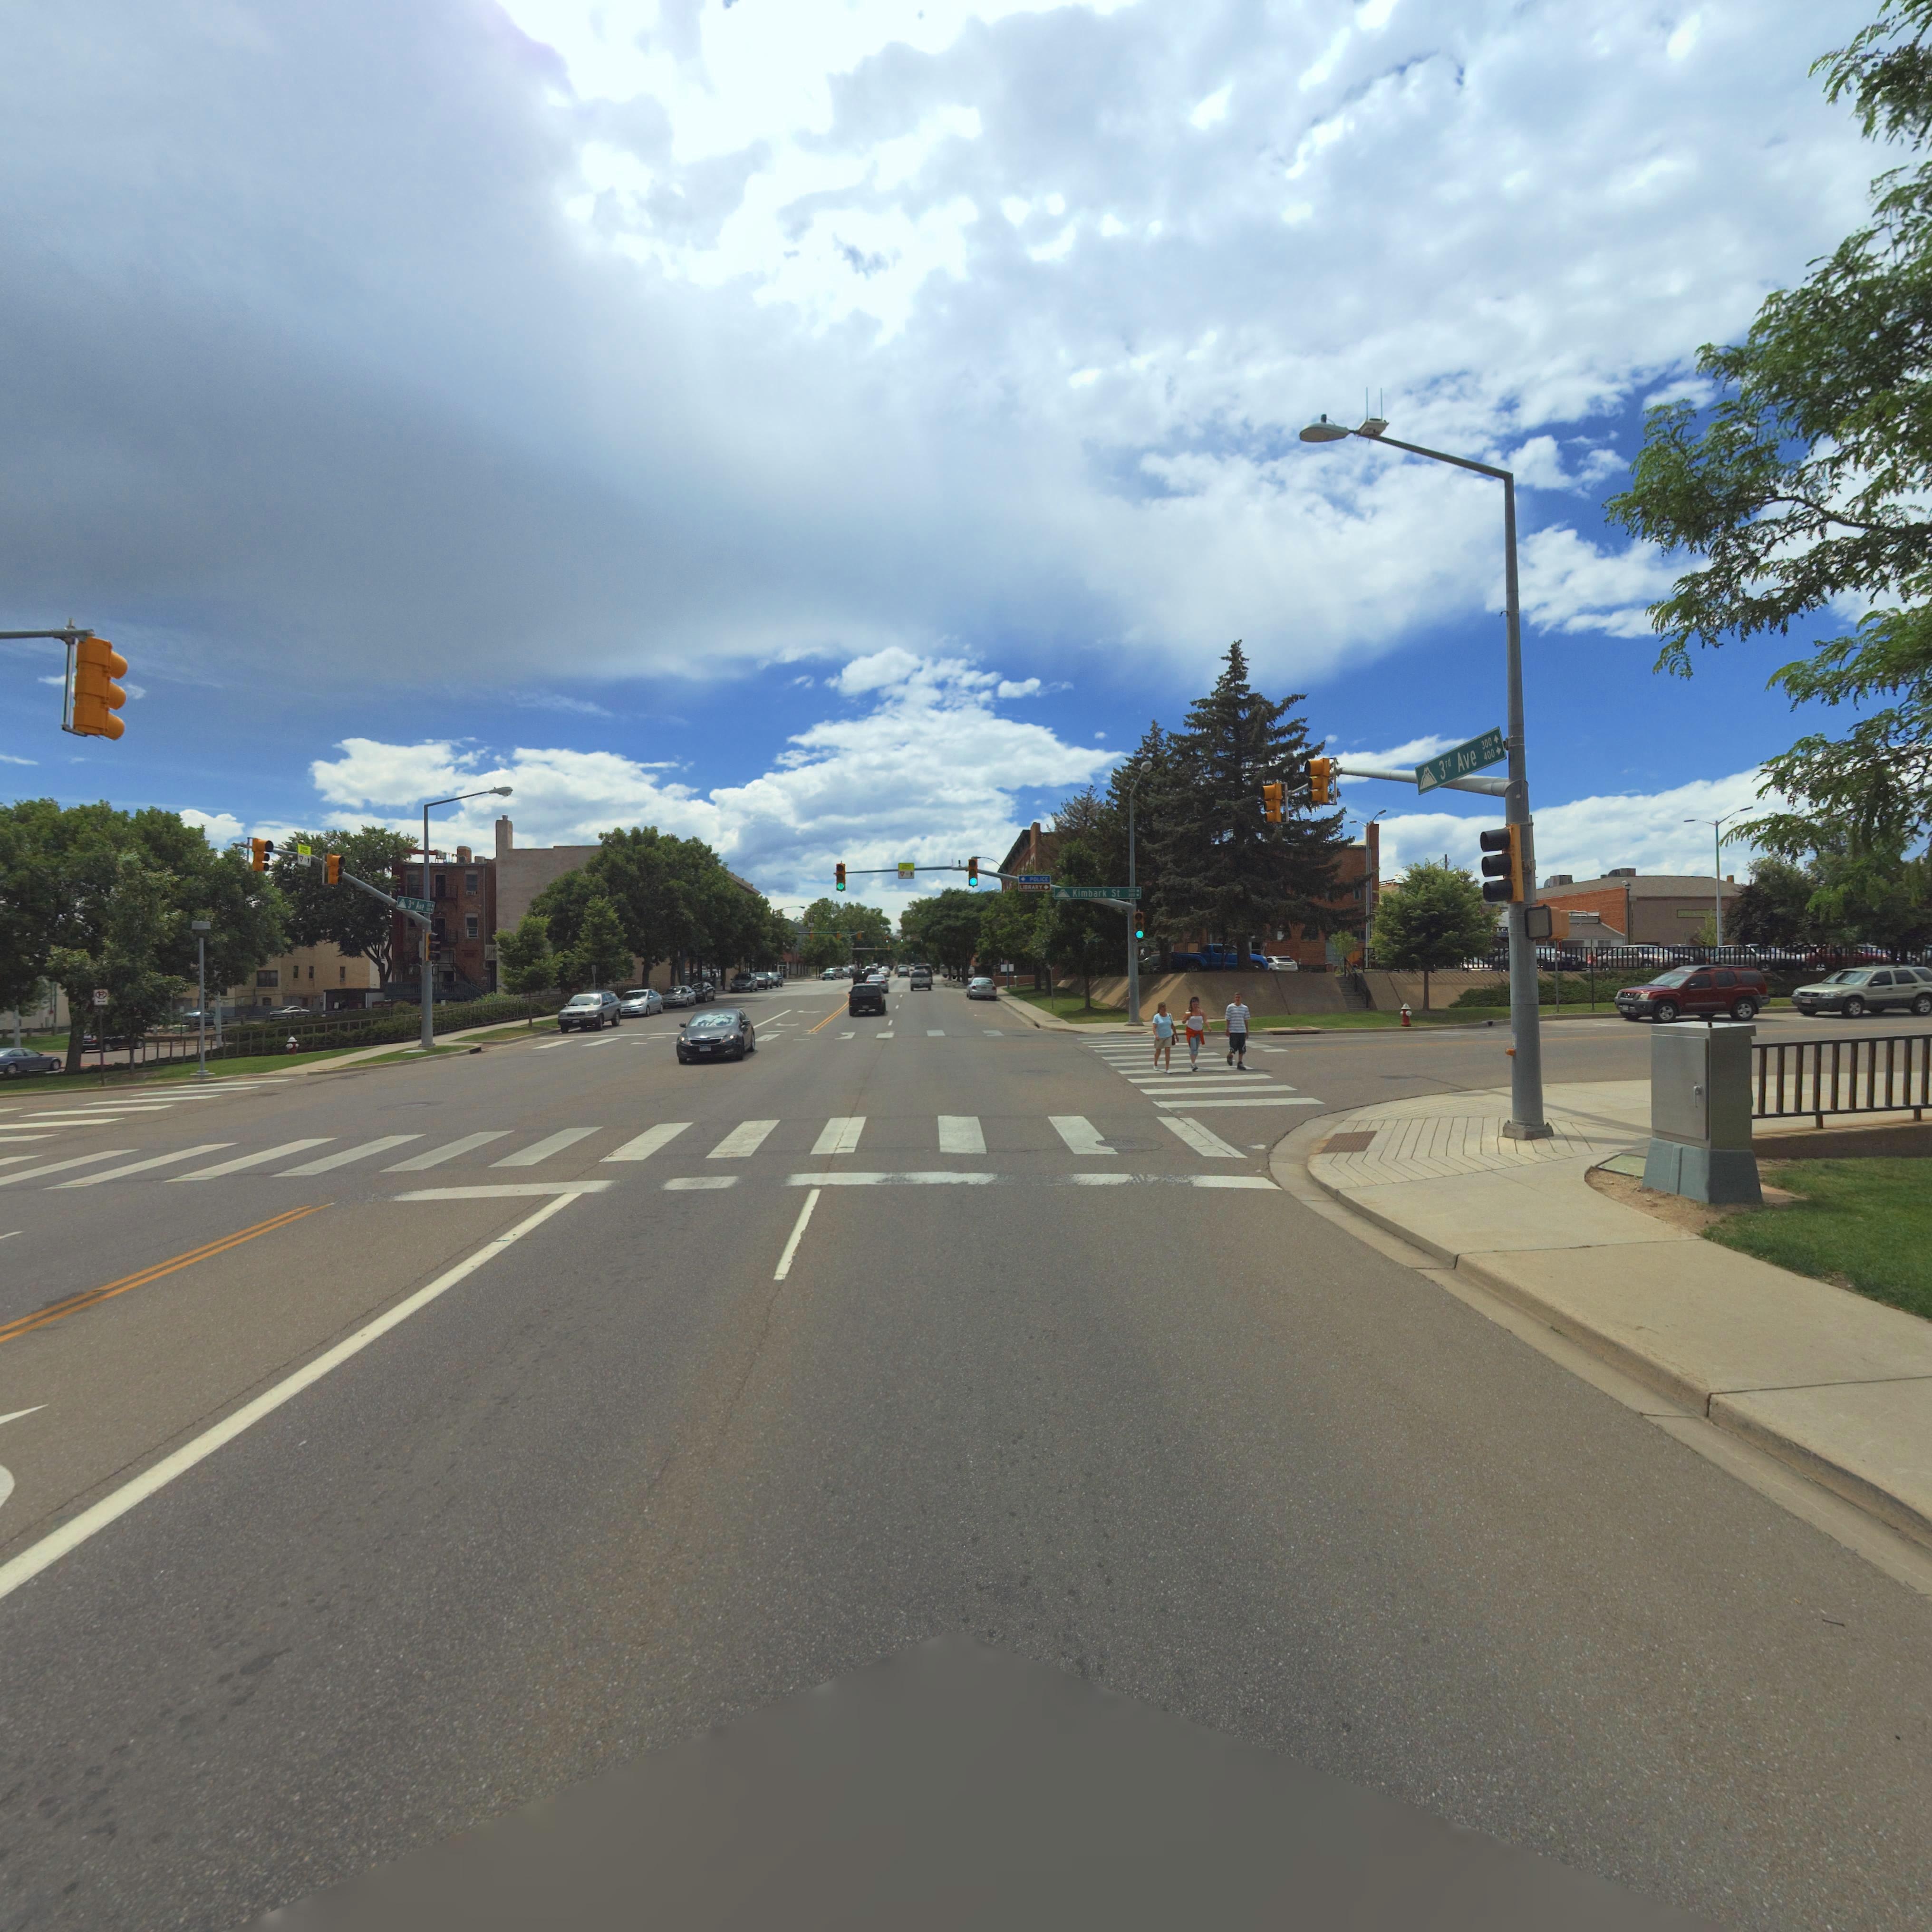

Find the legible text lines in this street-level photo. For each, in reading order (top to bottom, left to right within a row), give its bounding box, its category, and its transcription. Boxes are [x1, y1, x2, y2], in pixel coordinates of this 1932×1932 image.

[1480, 737, 1492, 750] StreetNumberRange: 300
[1483, 746, 1501, 761] StreetNumberRange: 400 ->
[1438, 749, 1478, 780] StreetName: 3rd Ave
[1072, 889, 1120, 897] StreetName: Kimbark St
[1127, 889, 1135, 892] StreetNumberRange: 500
[1128, 893, 1140, 897] StreetNumberRange: *00 ->
[407, 899, 424, 910] StreetName: 3rd Ave